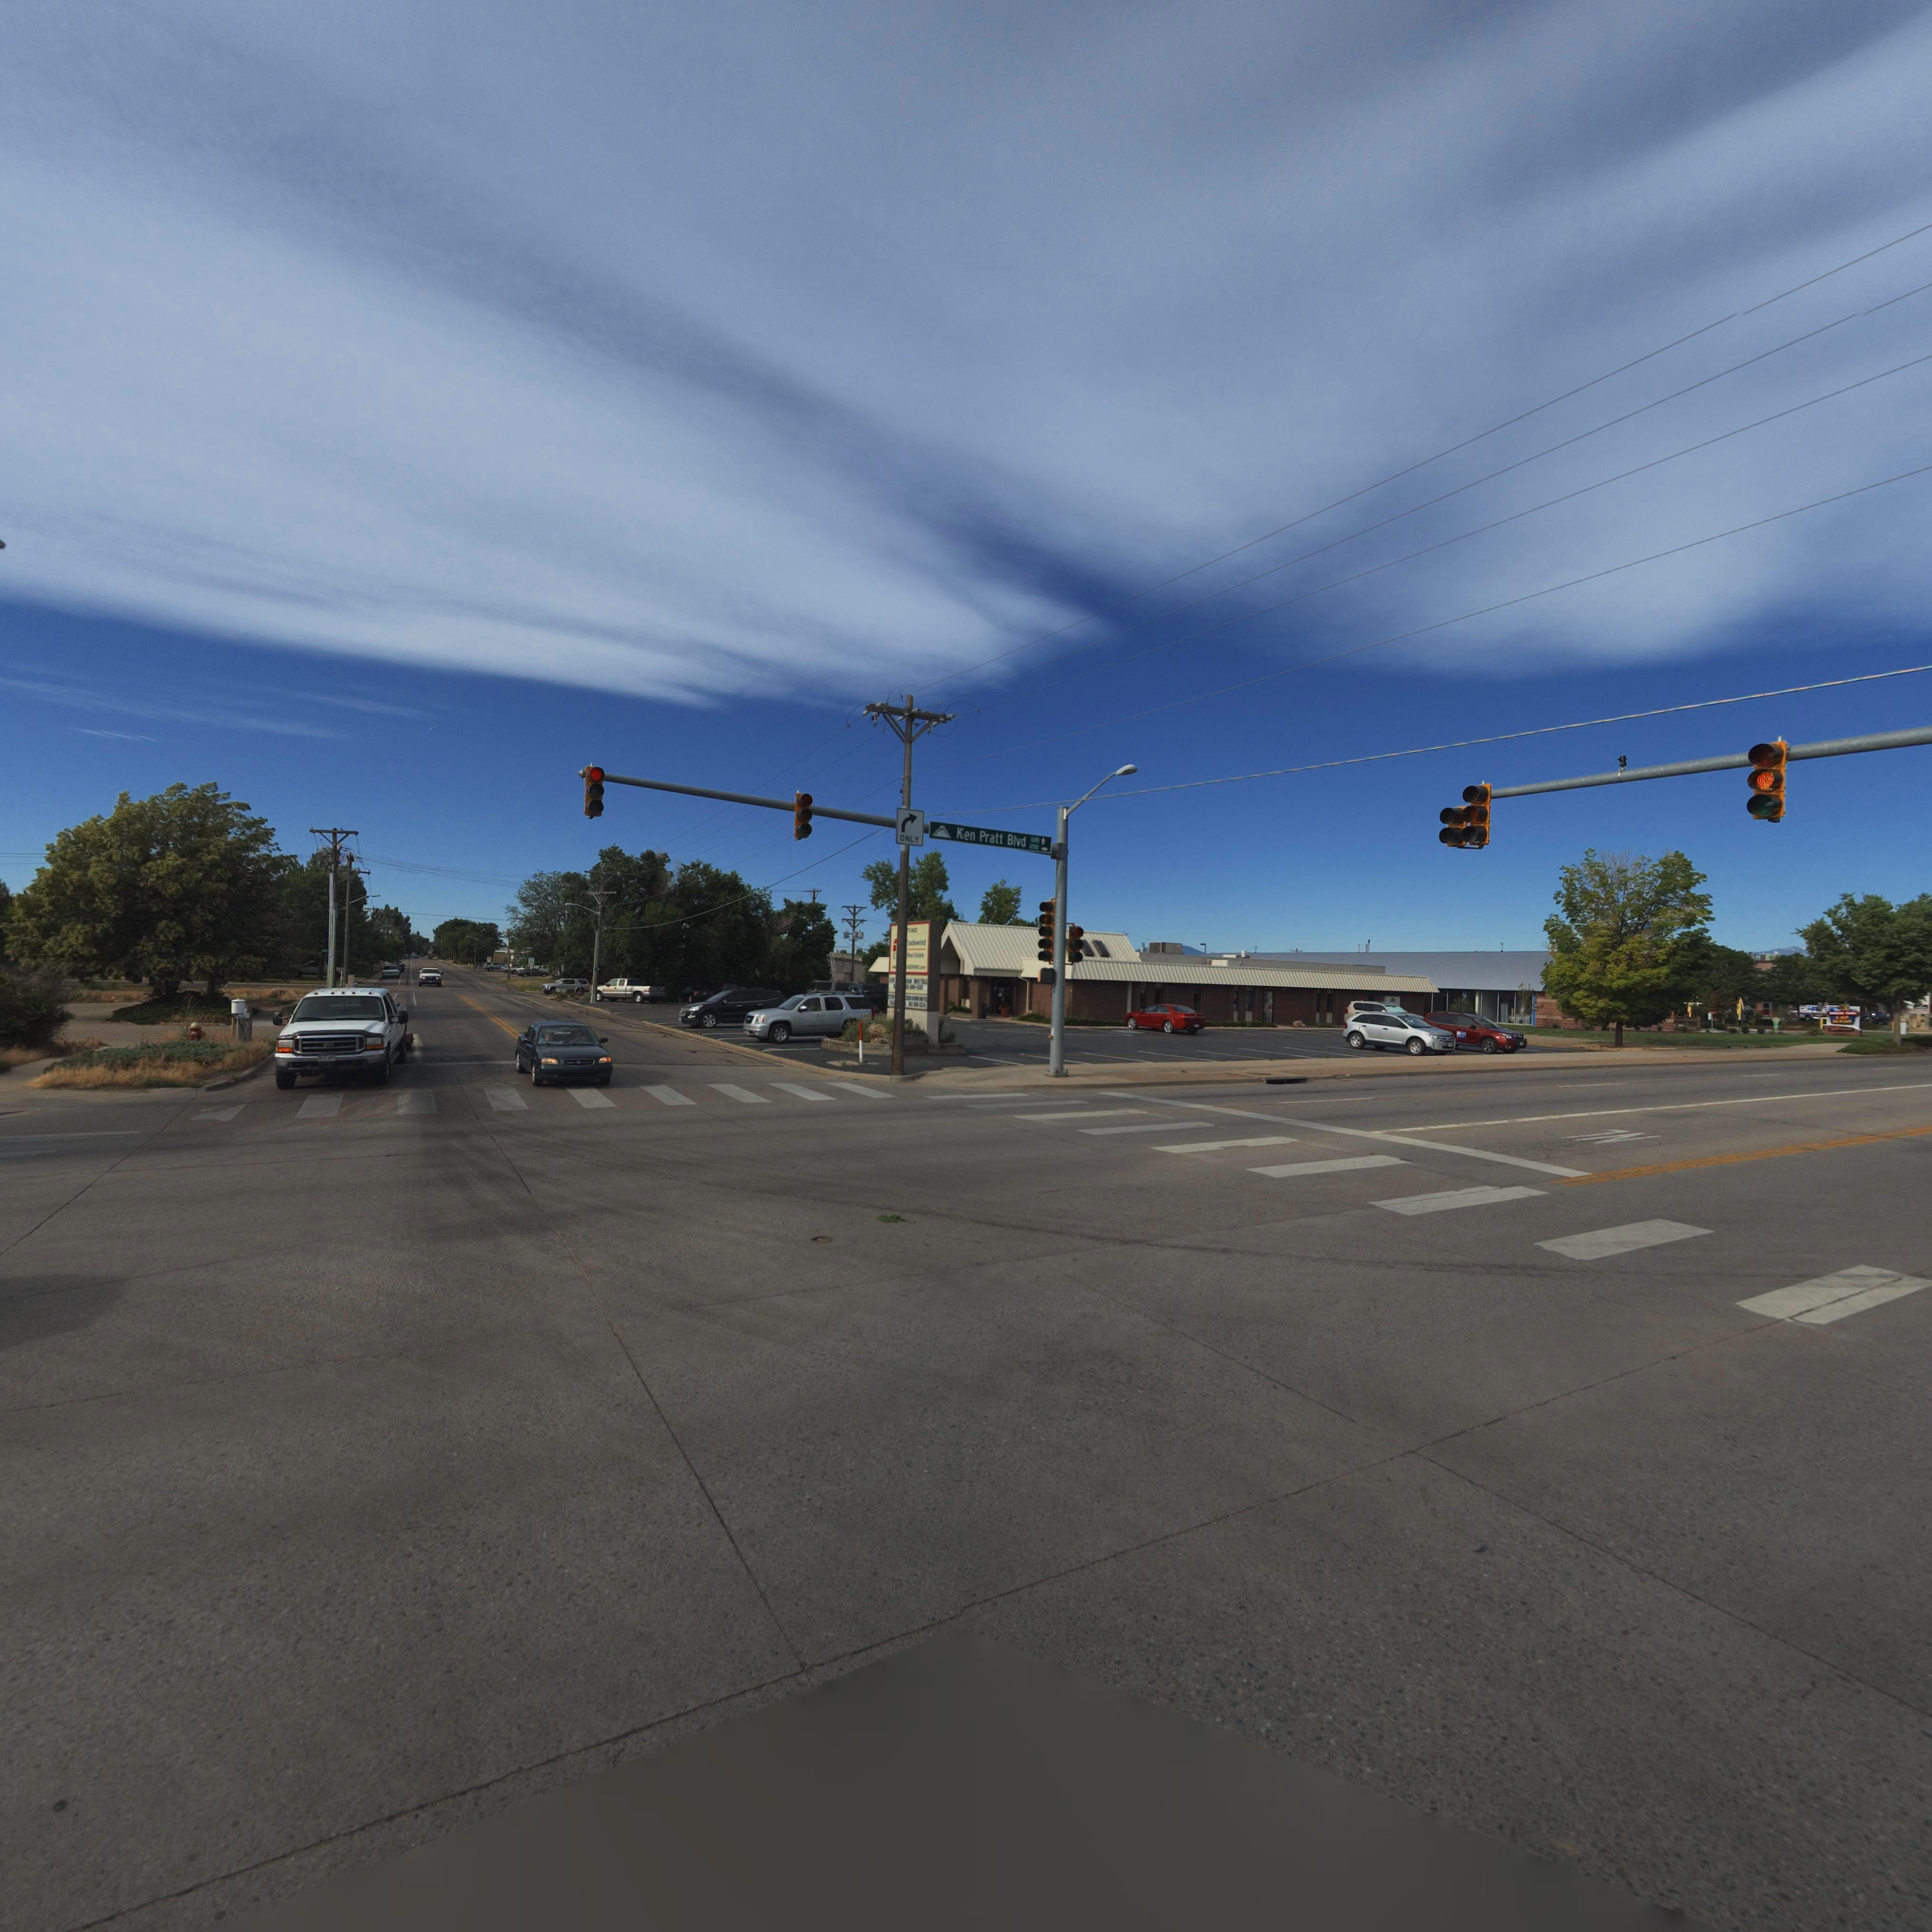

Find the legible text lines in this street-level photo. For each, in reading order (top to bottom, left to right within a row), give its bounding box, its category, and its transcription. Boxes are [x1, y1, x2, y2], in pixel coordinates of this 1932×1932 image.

[956, 826, 1026, 848] StreetName: K*en Pratt Blvd
[1030, 836, 1039, 843] StreetNumberRange: 600
[1029, 843, 1049, 851] StreetNumberRange: 1200->
[906, 938, 927, 946] BusinessName: *radewind
[892, 952, 897, 960] BusinessName: E
[906, 952, 925, 958] BusinessName: Real Estate
[1835, 1015, 1848, 1019] BusinessName: CAR
[1831, 1019, 1852, 1024] BusinessName: *A**